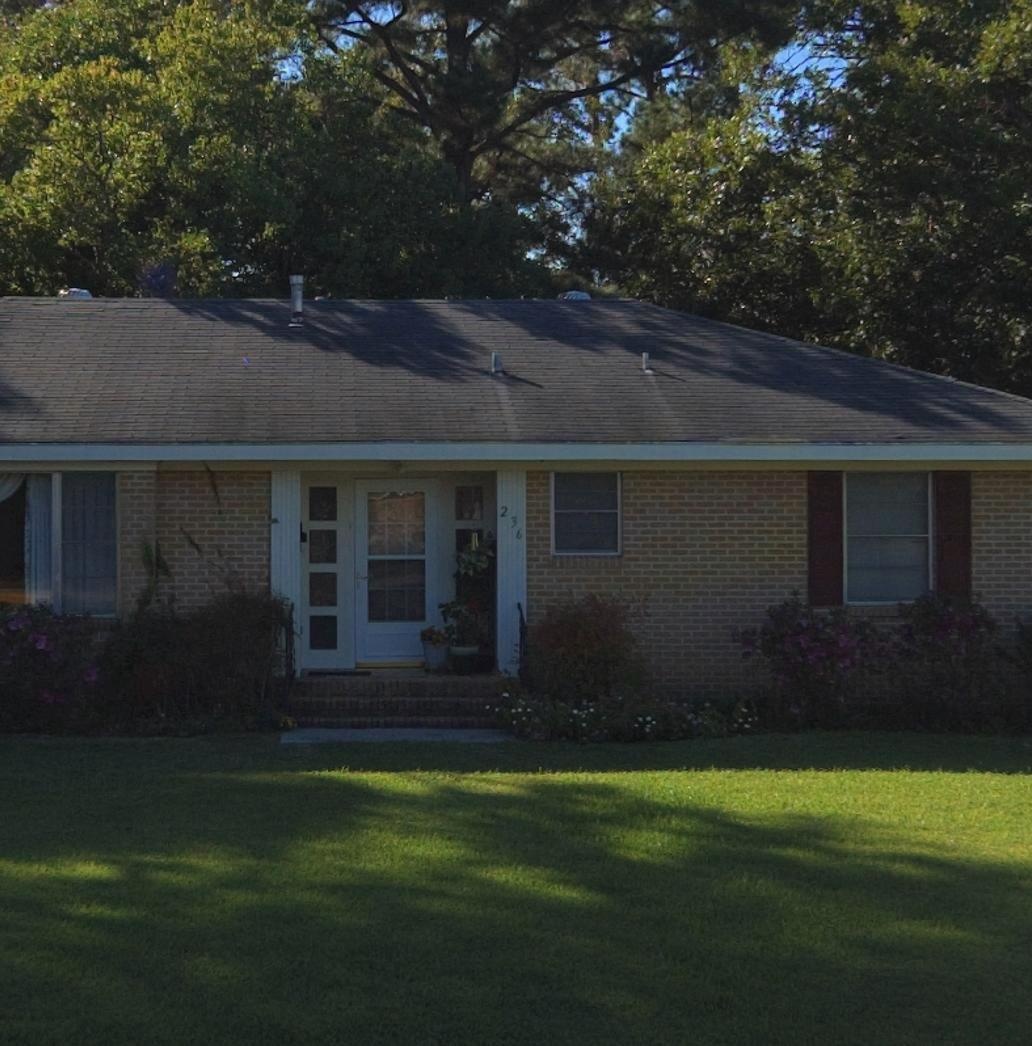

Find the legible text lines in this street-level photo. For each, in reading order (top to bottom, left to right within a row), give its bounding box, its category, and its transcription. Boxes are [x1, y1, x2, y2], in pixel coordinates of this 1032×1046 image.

[499, 504, 523, 541] StreetNumber: 236